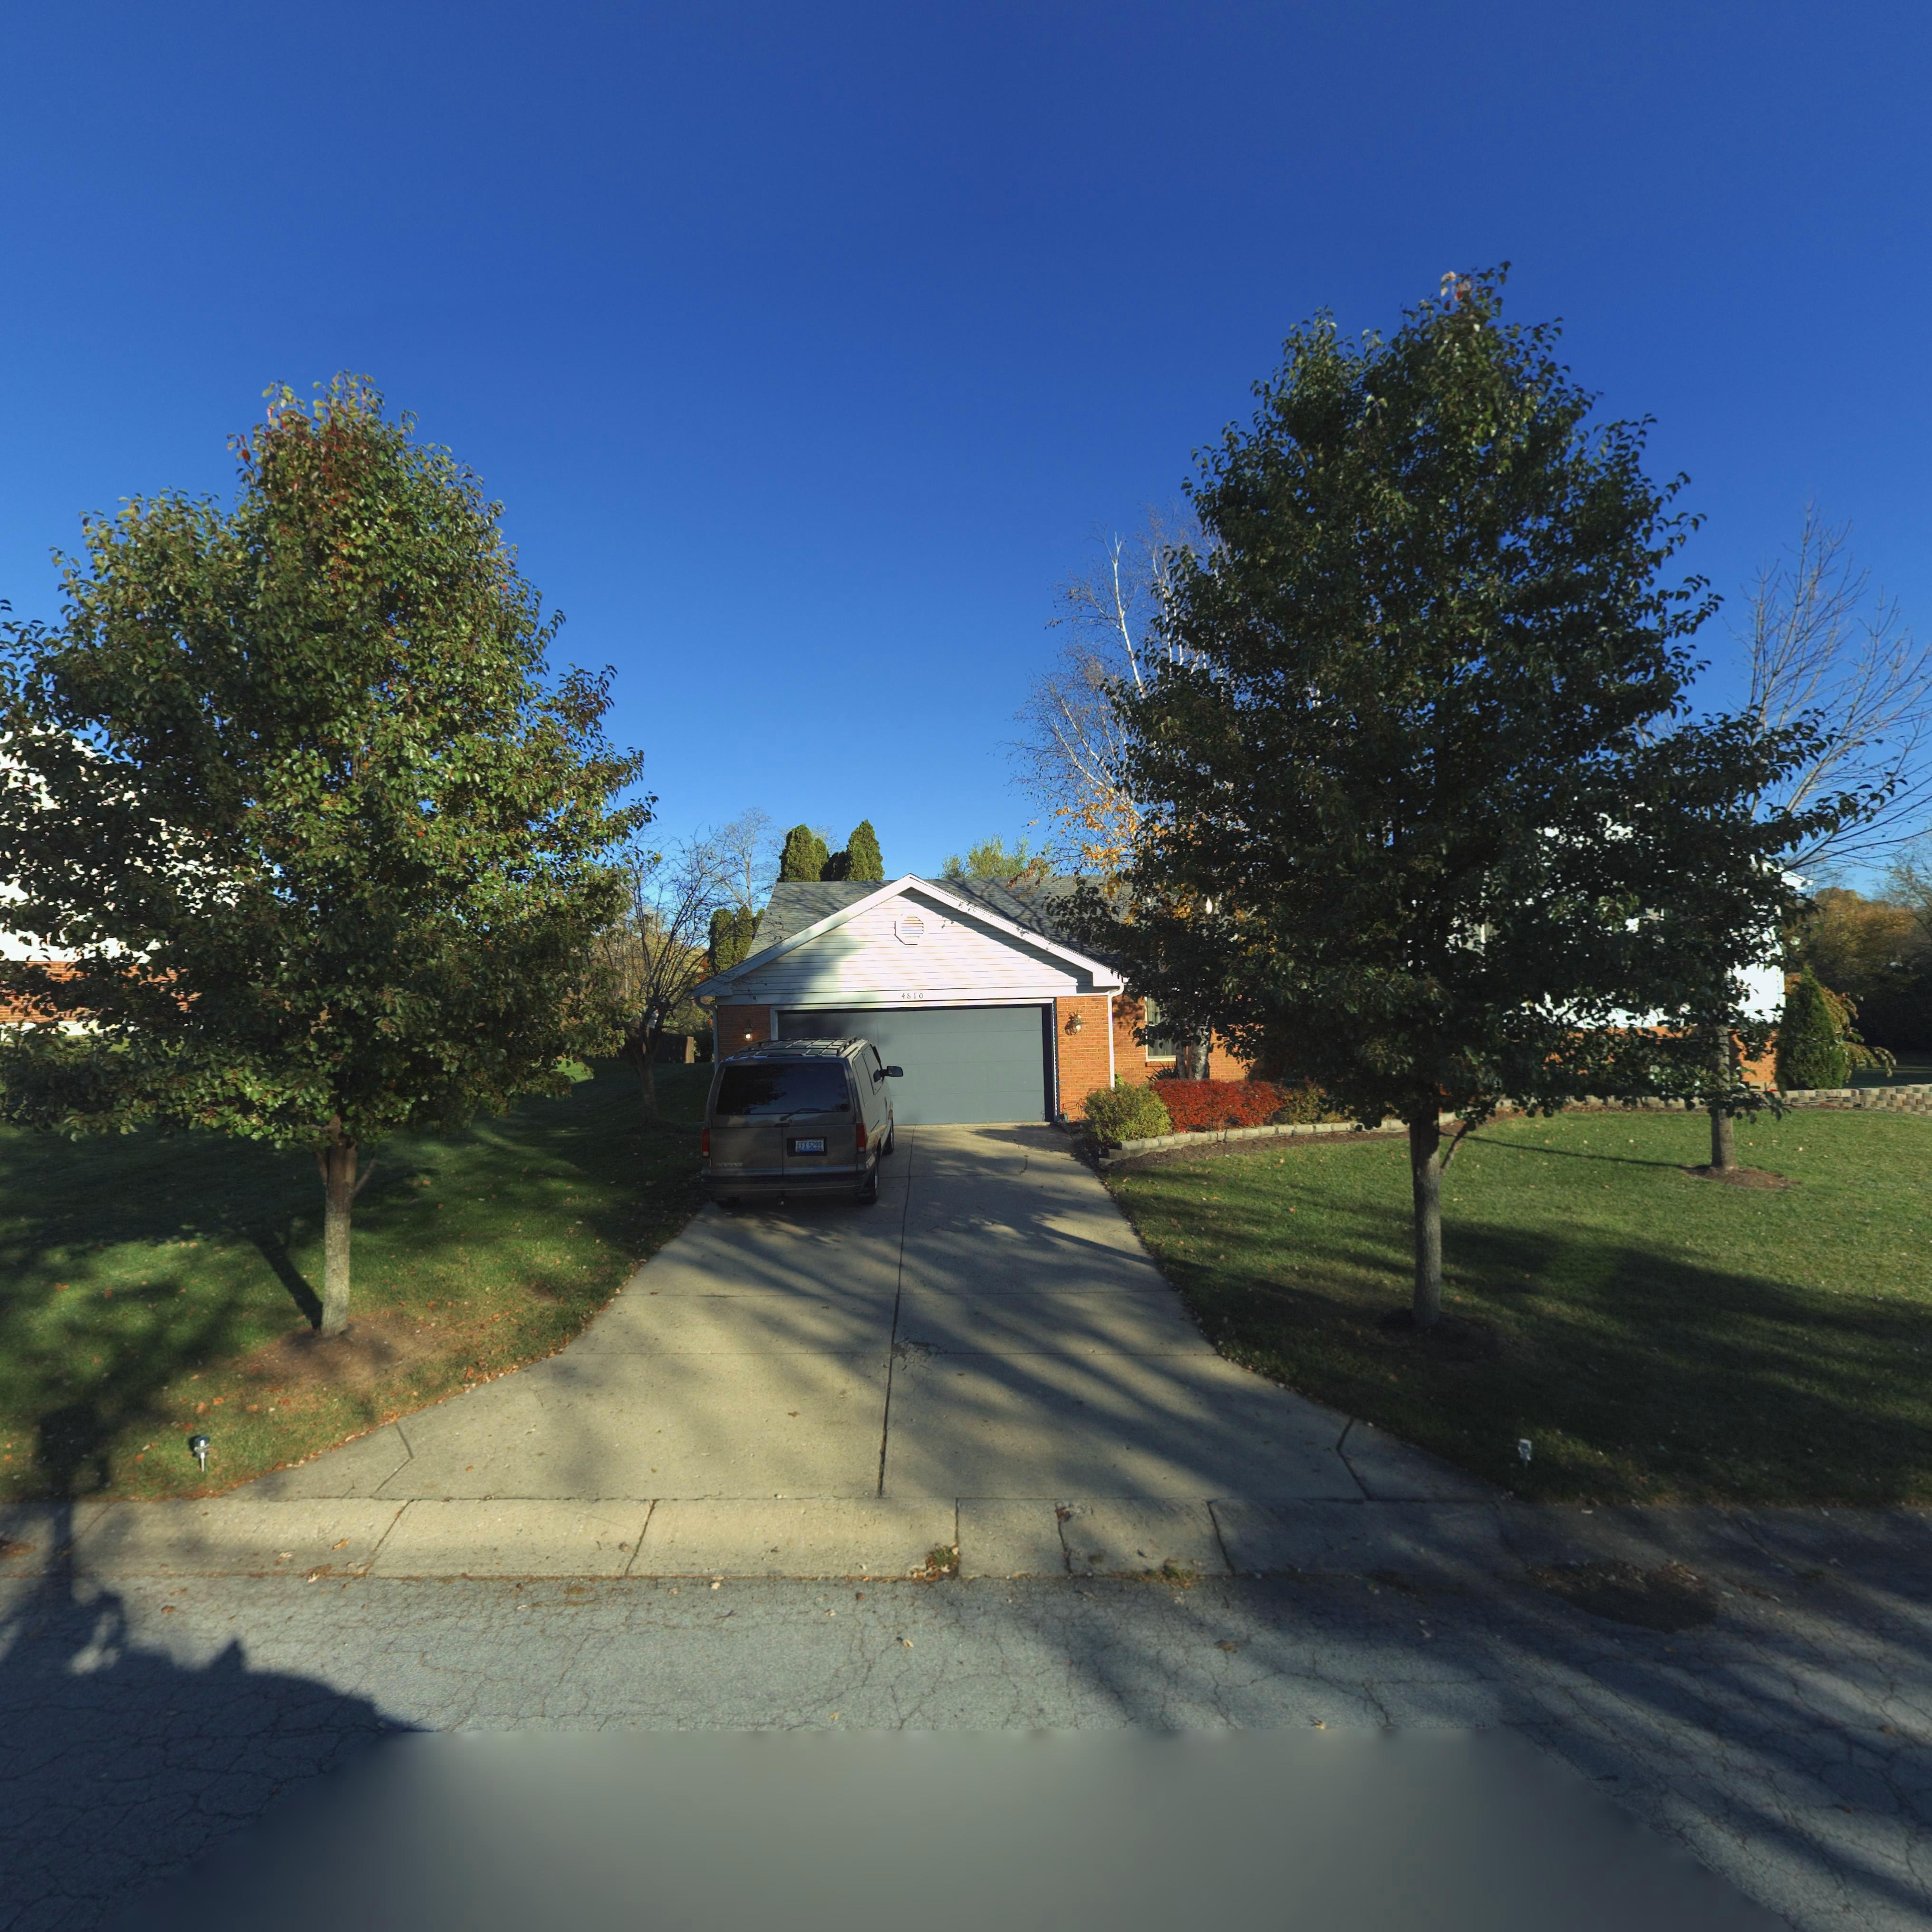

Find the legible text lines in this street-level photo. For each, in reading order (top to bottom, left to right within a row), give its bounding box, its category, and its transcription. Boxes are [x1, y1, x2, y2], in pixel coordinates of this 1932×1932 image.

[899, 991, 925, 1000] StreetNumber: 4810